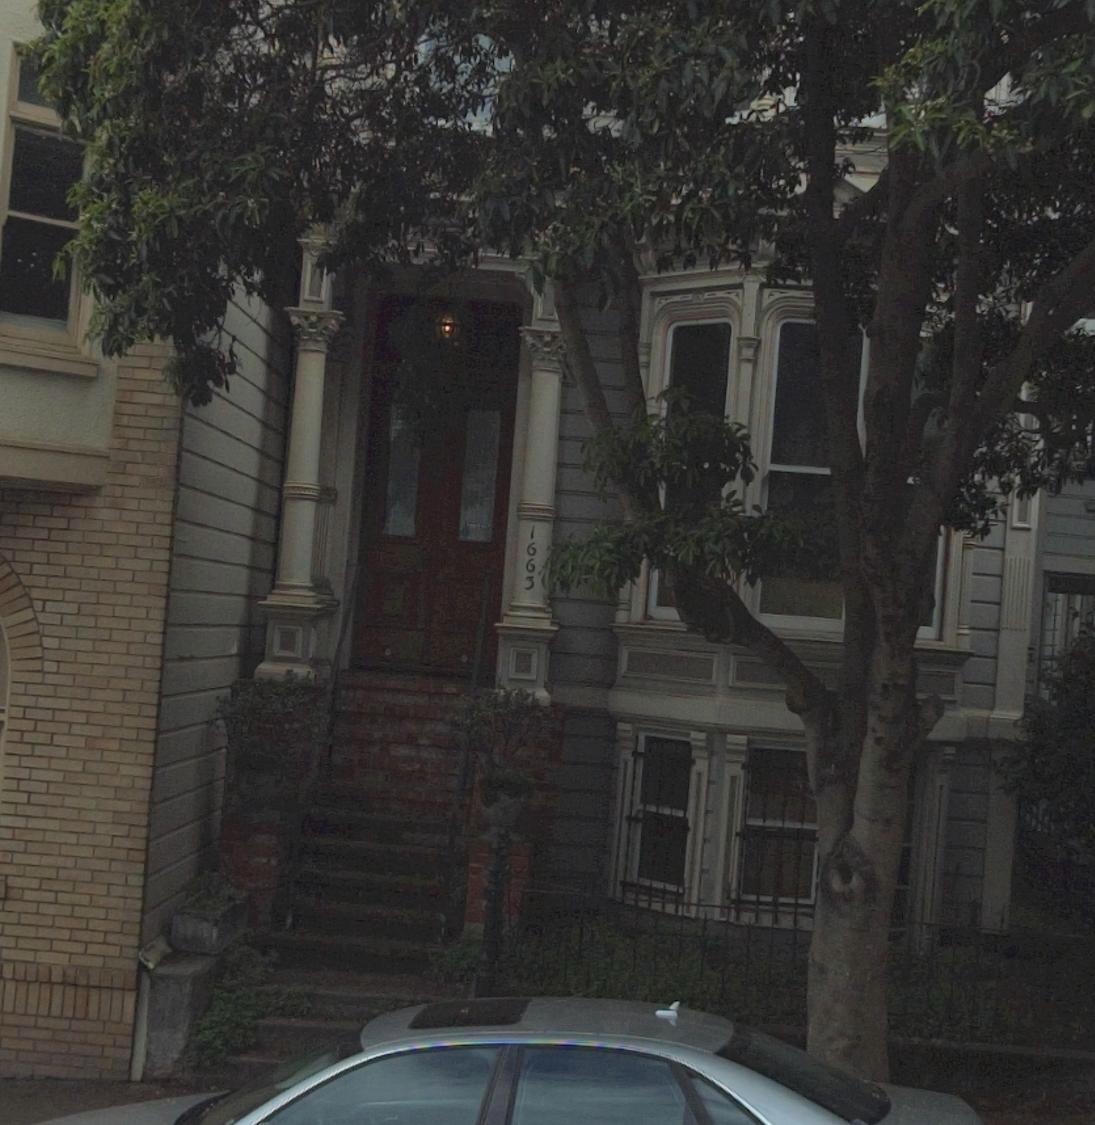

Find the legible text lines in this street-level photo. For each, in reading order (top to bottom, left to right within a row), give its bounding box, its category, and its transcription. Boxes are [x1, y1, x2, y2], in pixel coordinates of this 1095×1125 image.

[523, 524, 539, 593] StreetNumber: 1663